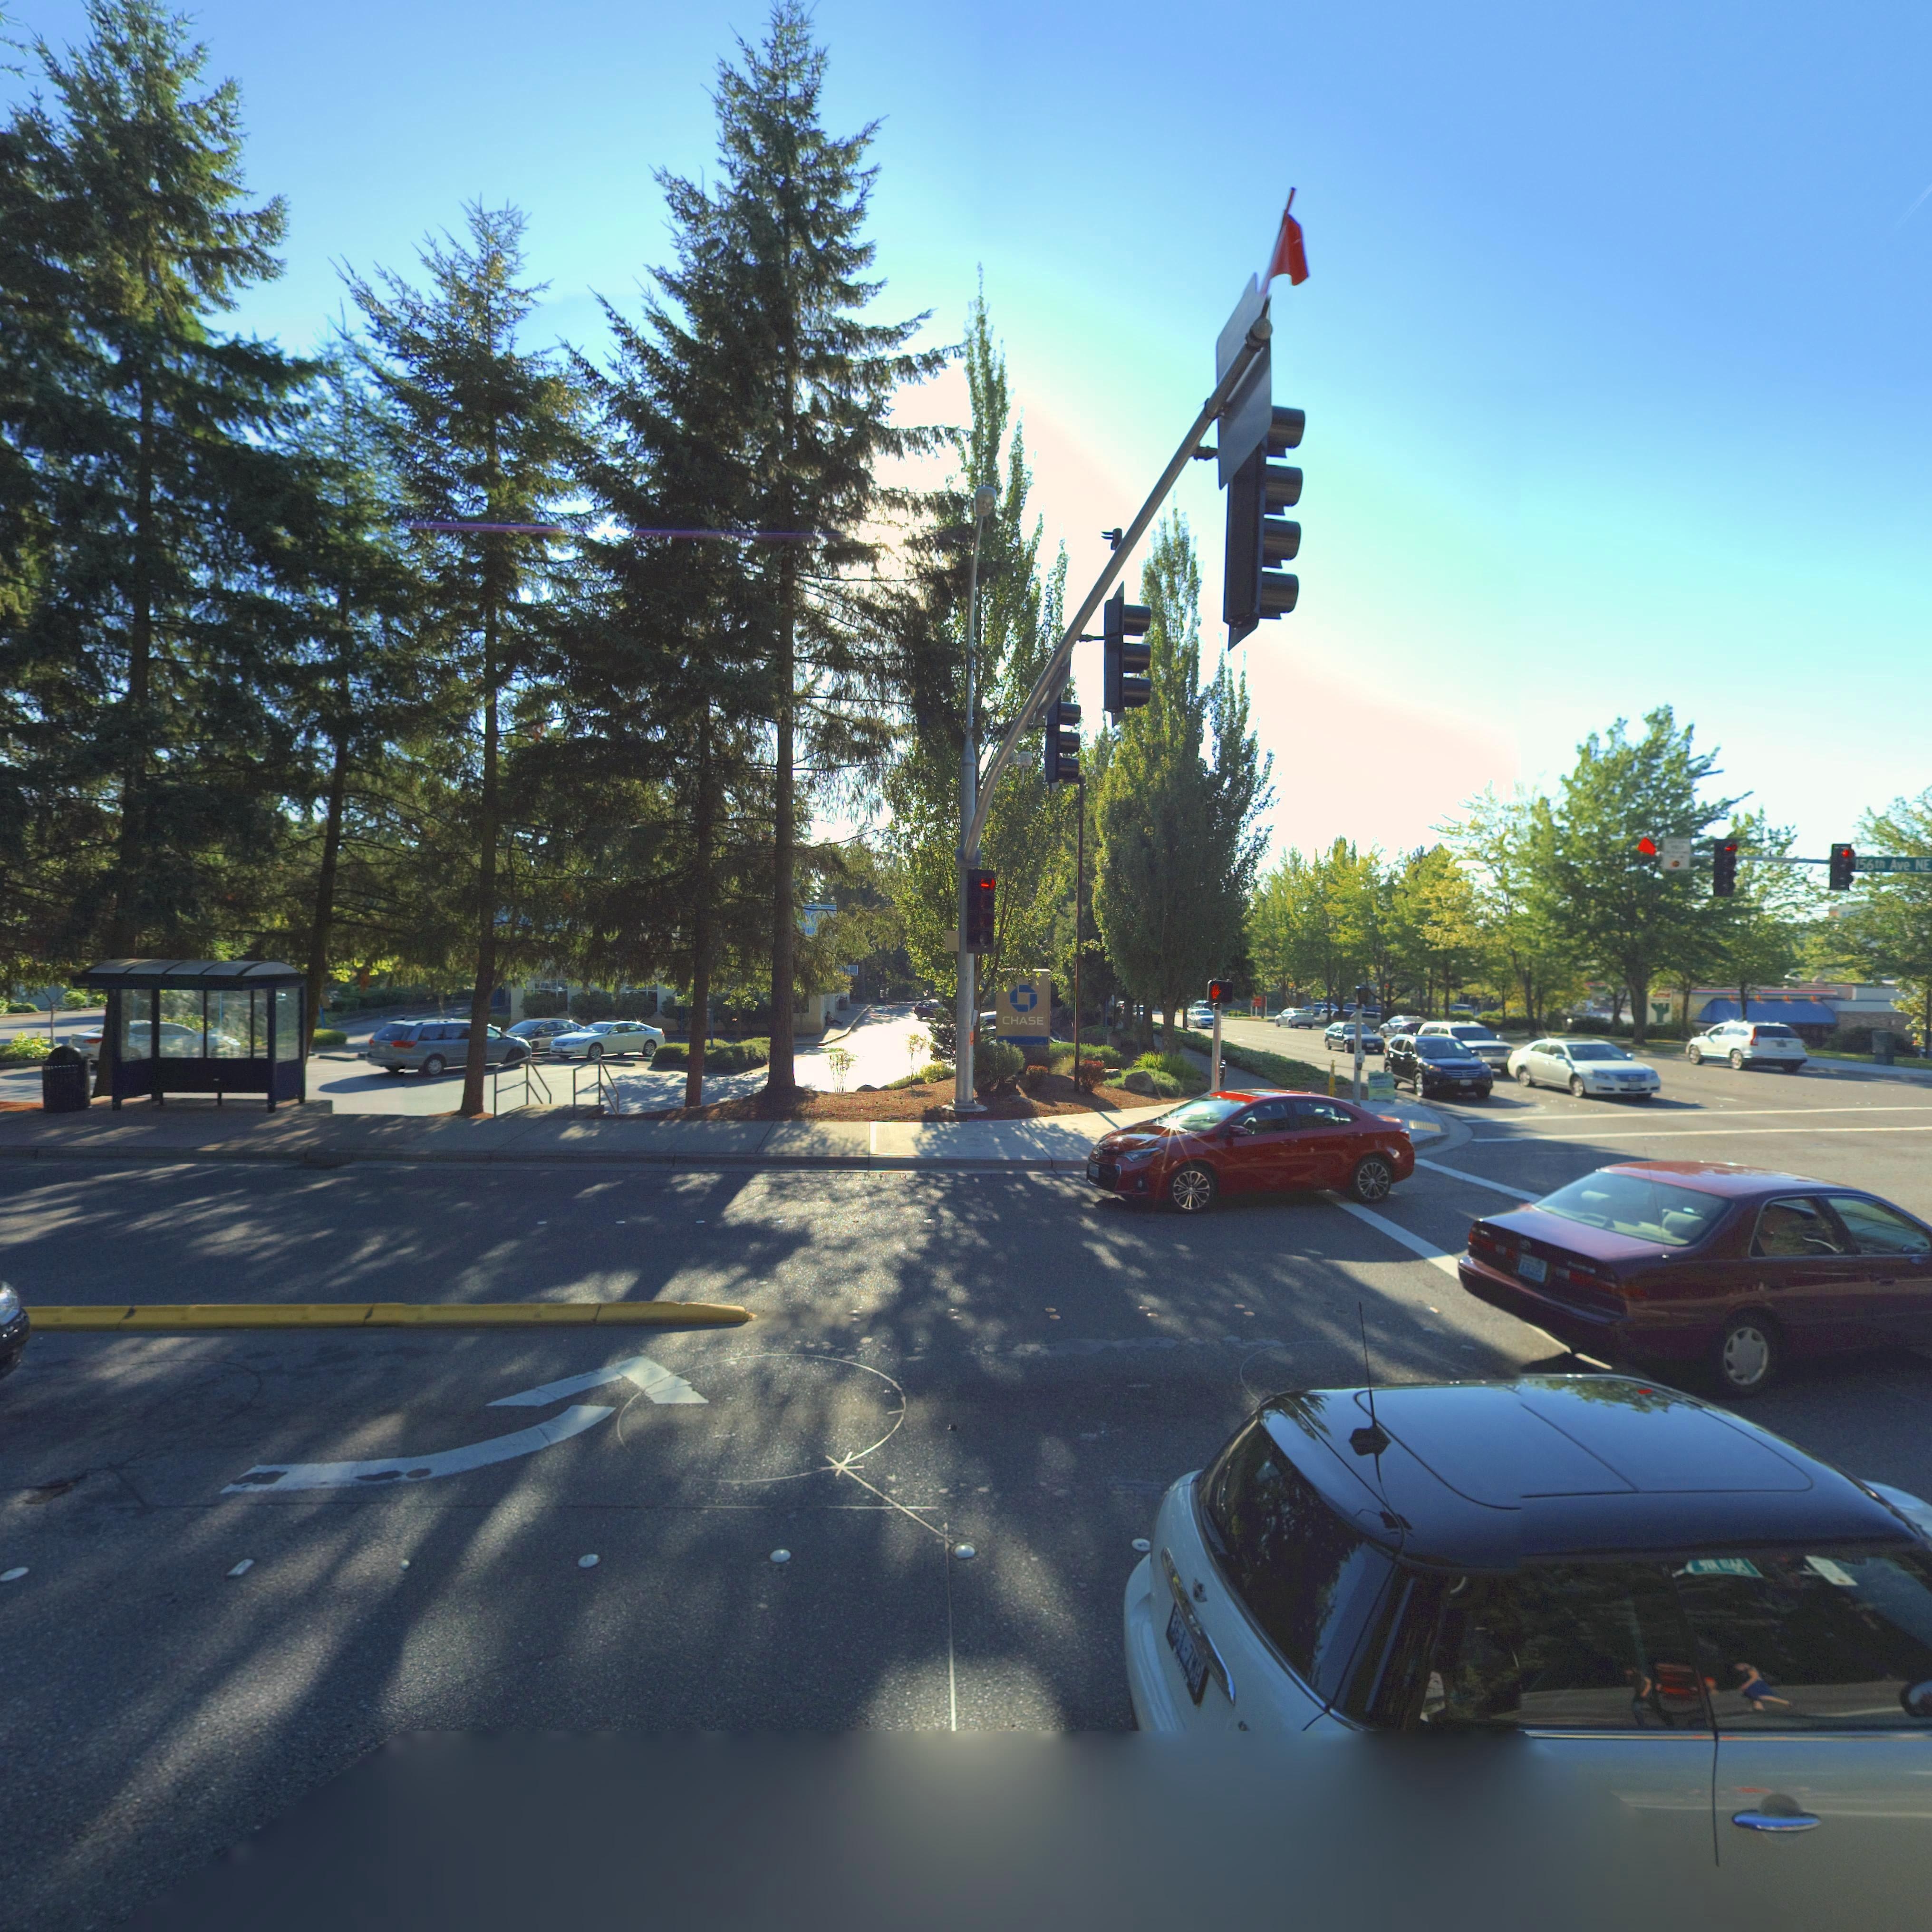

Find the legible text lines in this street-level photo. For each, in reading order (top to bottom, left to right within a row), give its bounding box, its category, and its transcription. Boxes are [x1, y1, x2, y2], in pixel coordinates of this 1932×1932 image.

[1855, 857, 1931, 871] None: 156TH Ave NE
[1001, 1015, 1044, 1026] BusinessName: CHASE